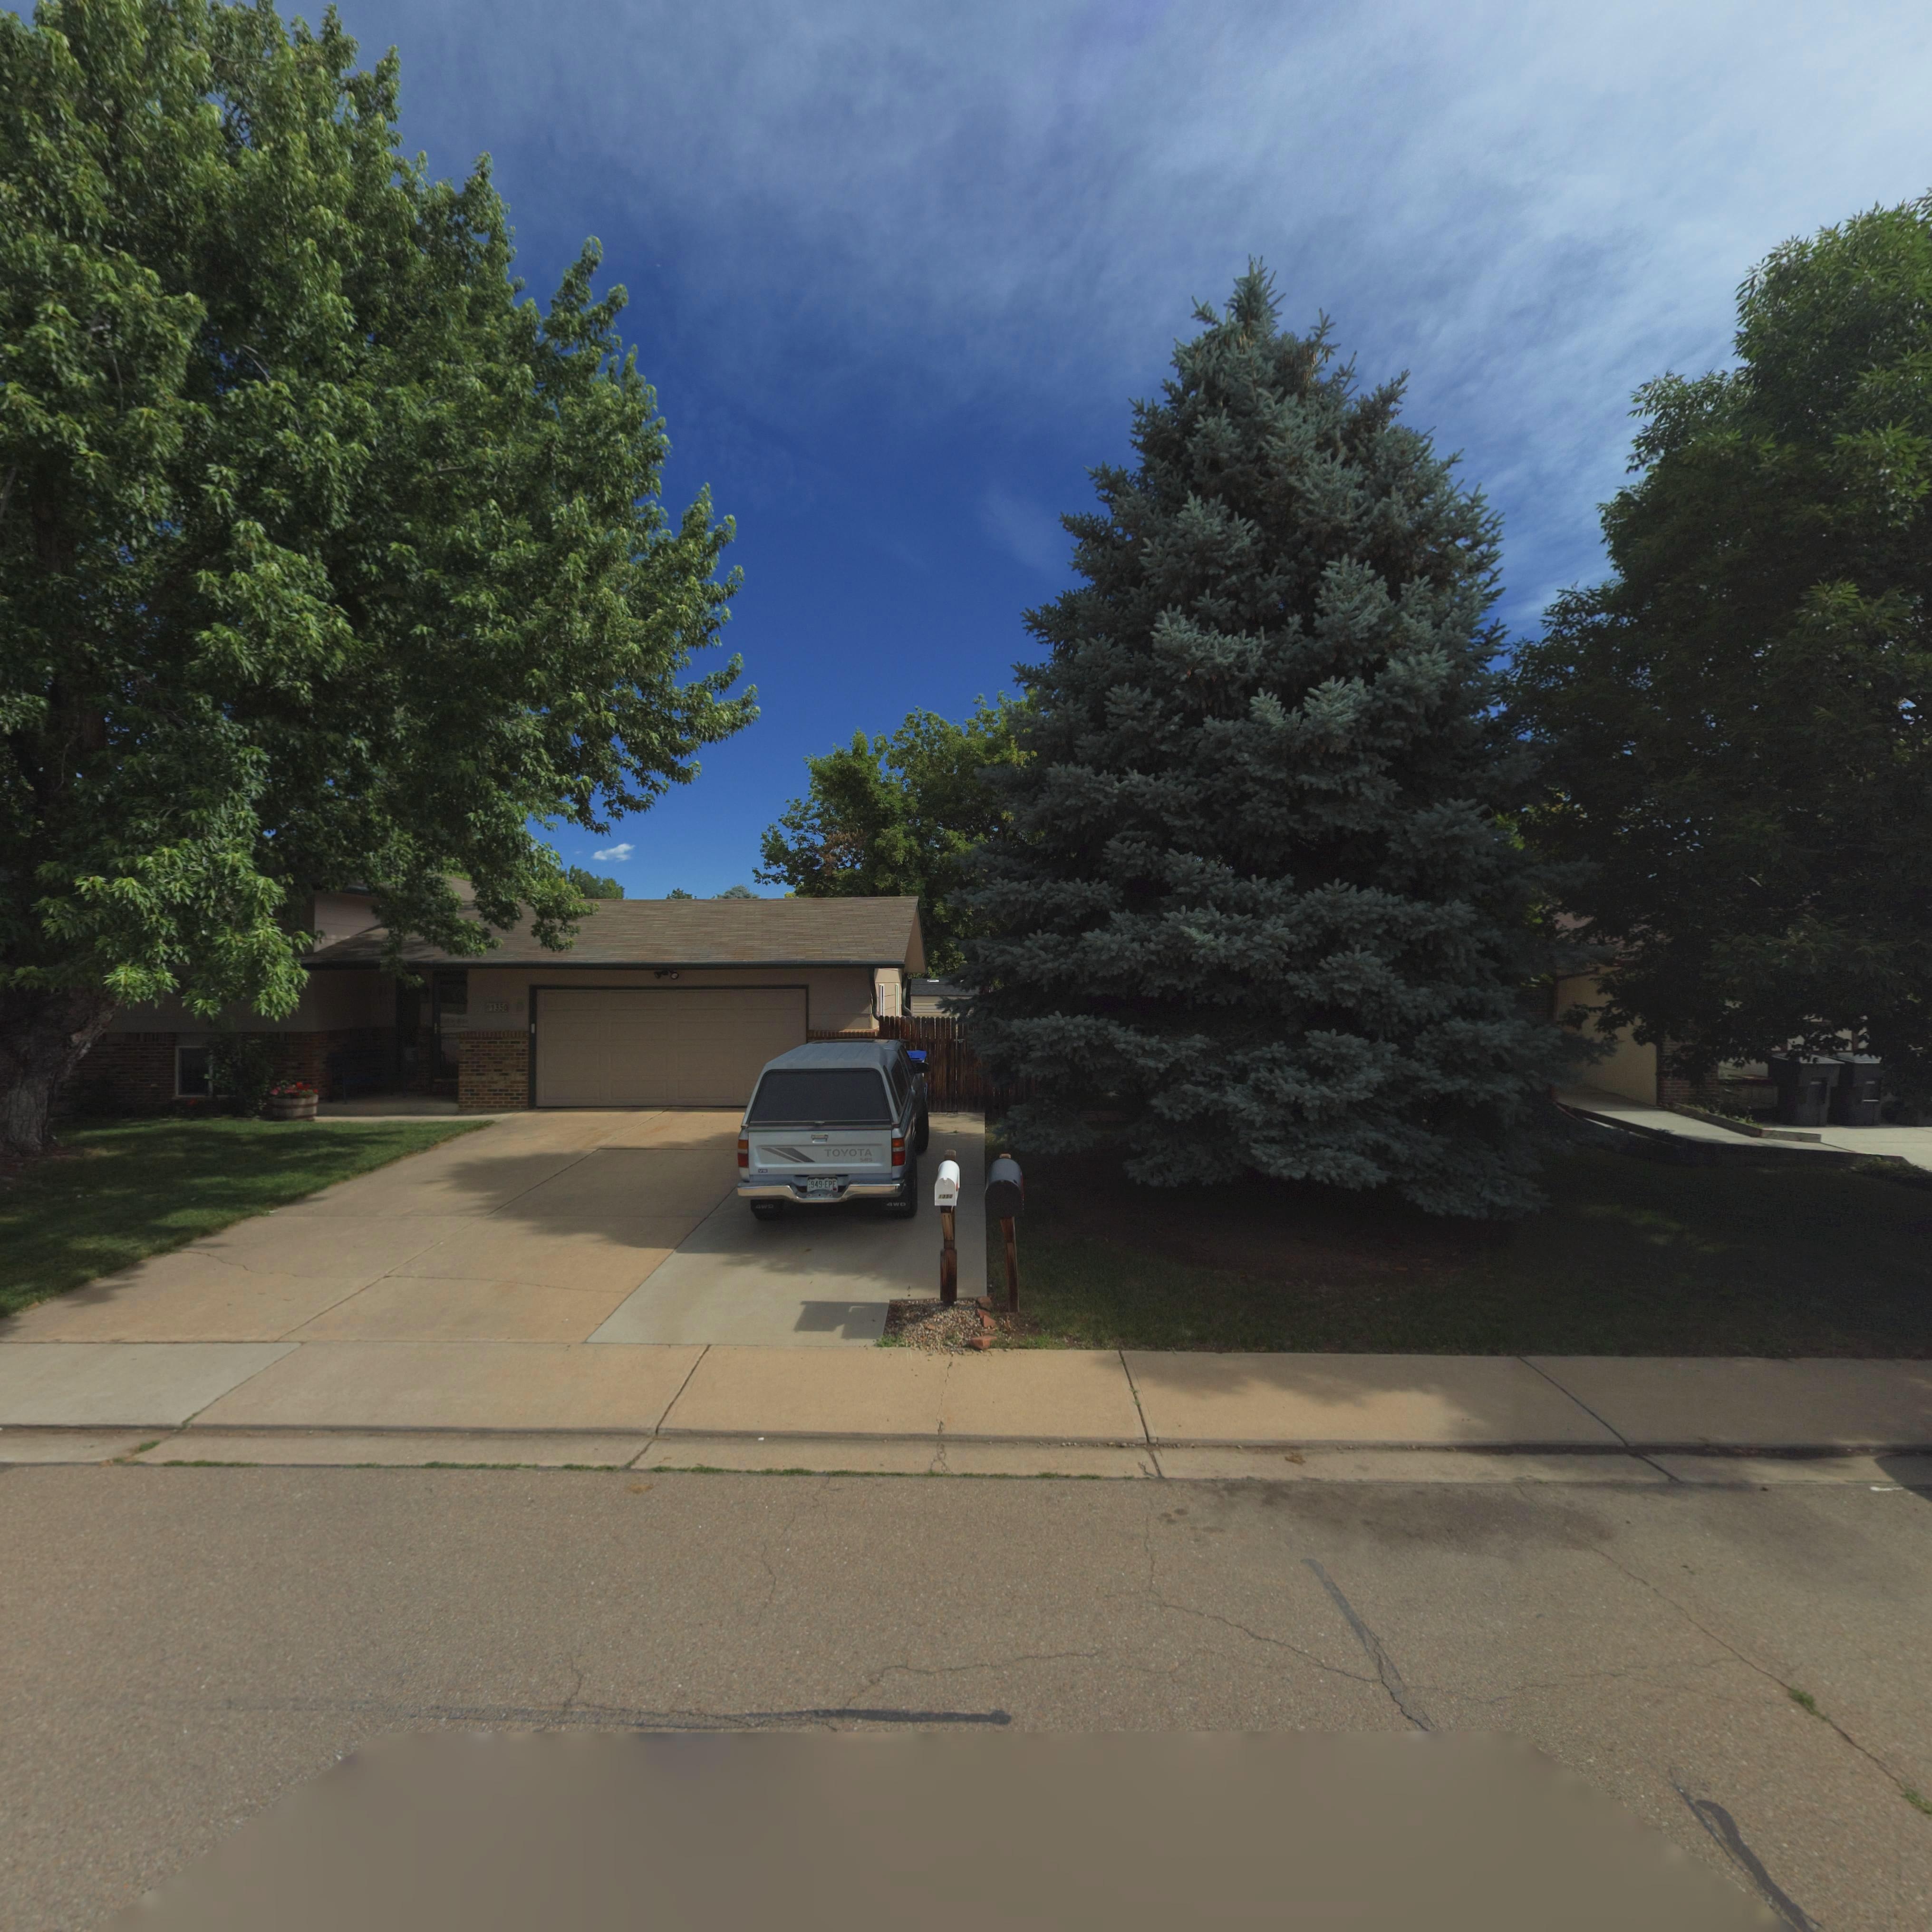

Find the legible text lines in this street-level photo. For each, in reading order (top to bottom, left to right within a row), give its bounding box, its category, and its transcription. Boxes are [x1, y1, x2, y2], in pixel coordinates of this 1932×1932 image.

[491, 1003, 508, 1011] StreetNumber: 1350
[938, 1194, 953, 1198] StreetNumber: 1350